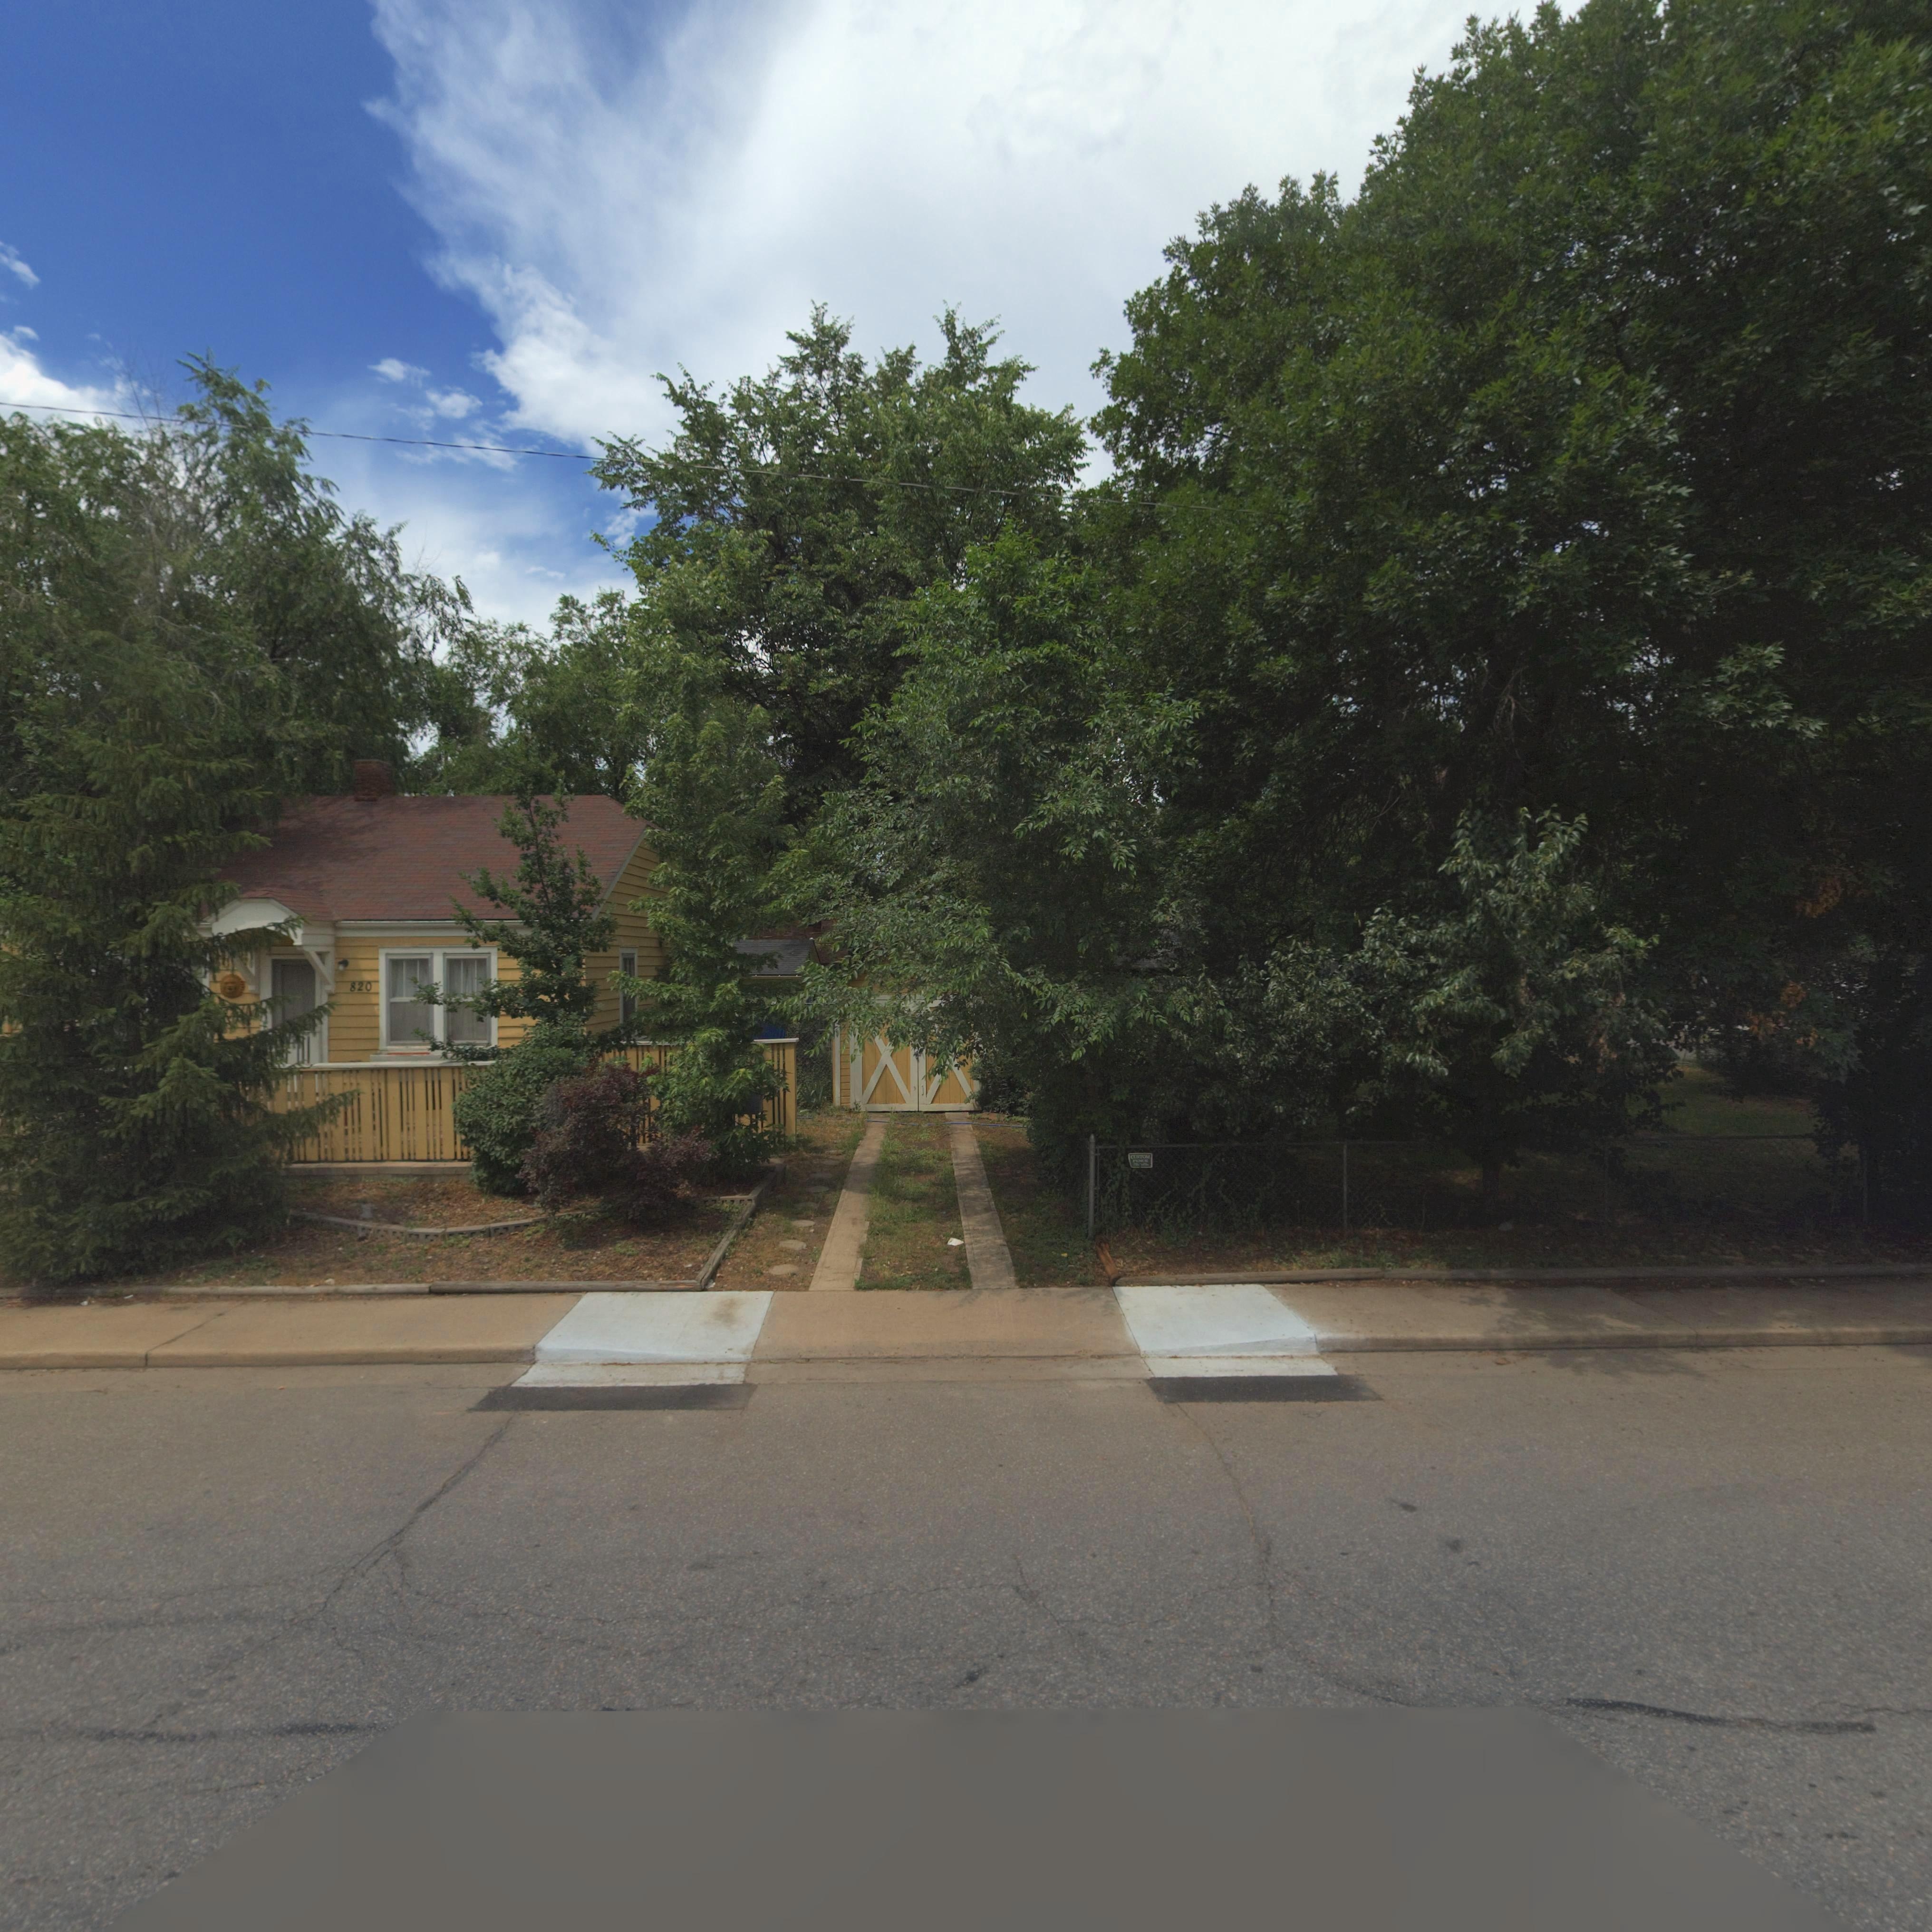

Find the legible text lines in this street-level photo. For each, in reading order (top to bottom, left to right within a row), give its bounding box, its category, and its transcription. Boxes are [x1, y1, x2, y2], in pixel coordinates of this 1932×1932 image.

[350, 981, 371, 992] StreetNumber: 820